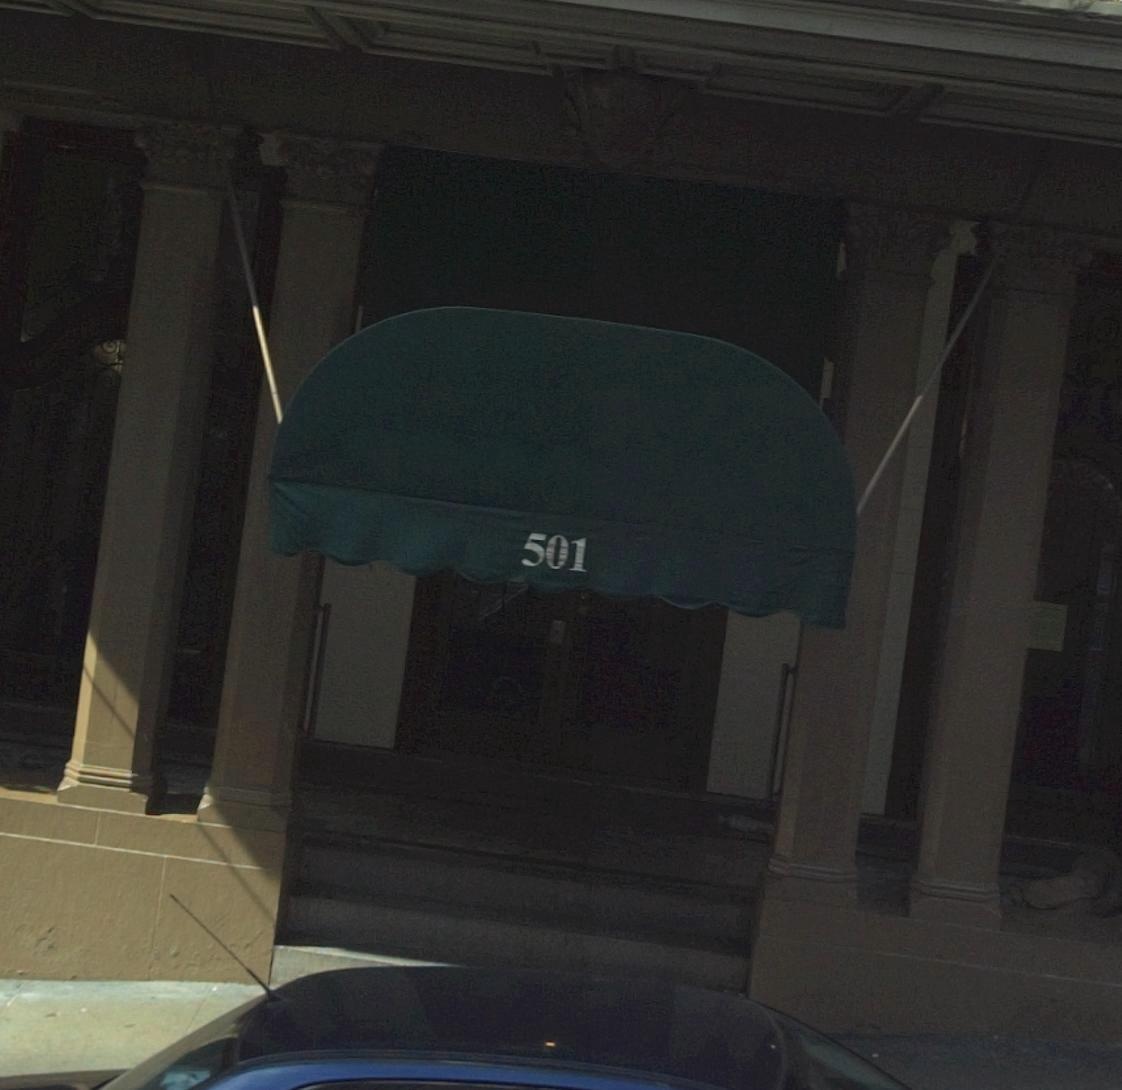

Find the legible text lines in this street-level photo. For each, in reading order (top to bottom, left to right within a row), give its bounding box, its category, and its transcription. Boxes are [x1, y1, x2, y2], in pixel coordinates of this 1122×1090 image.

[512, 523, 593, 577] StreetNumber: 501